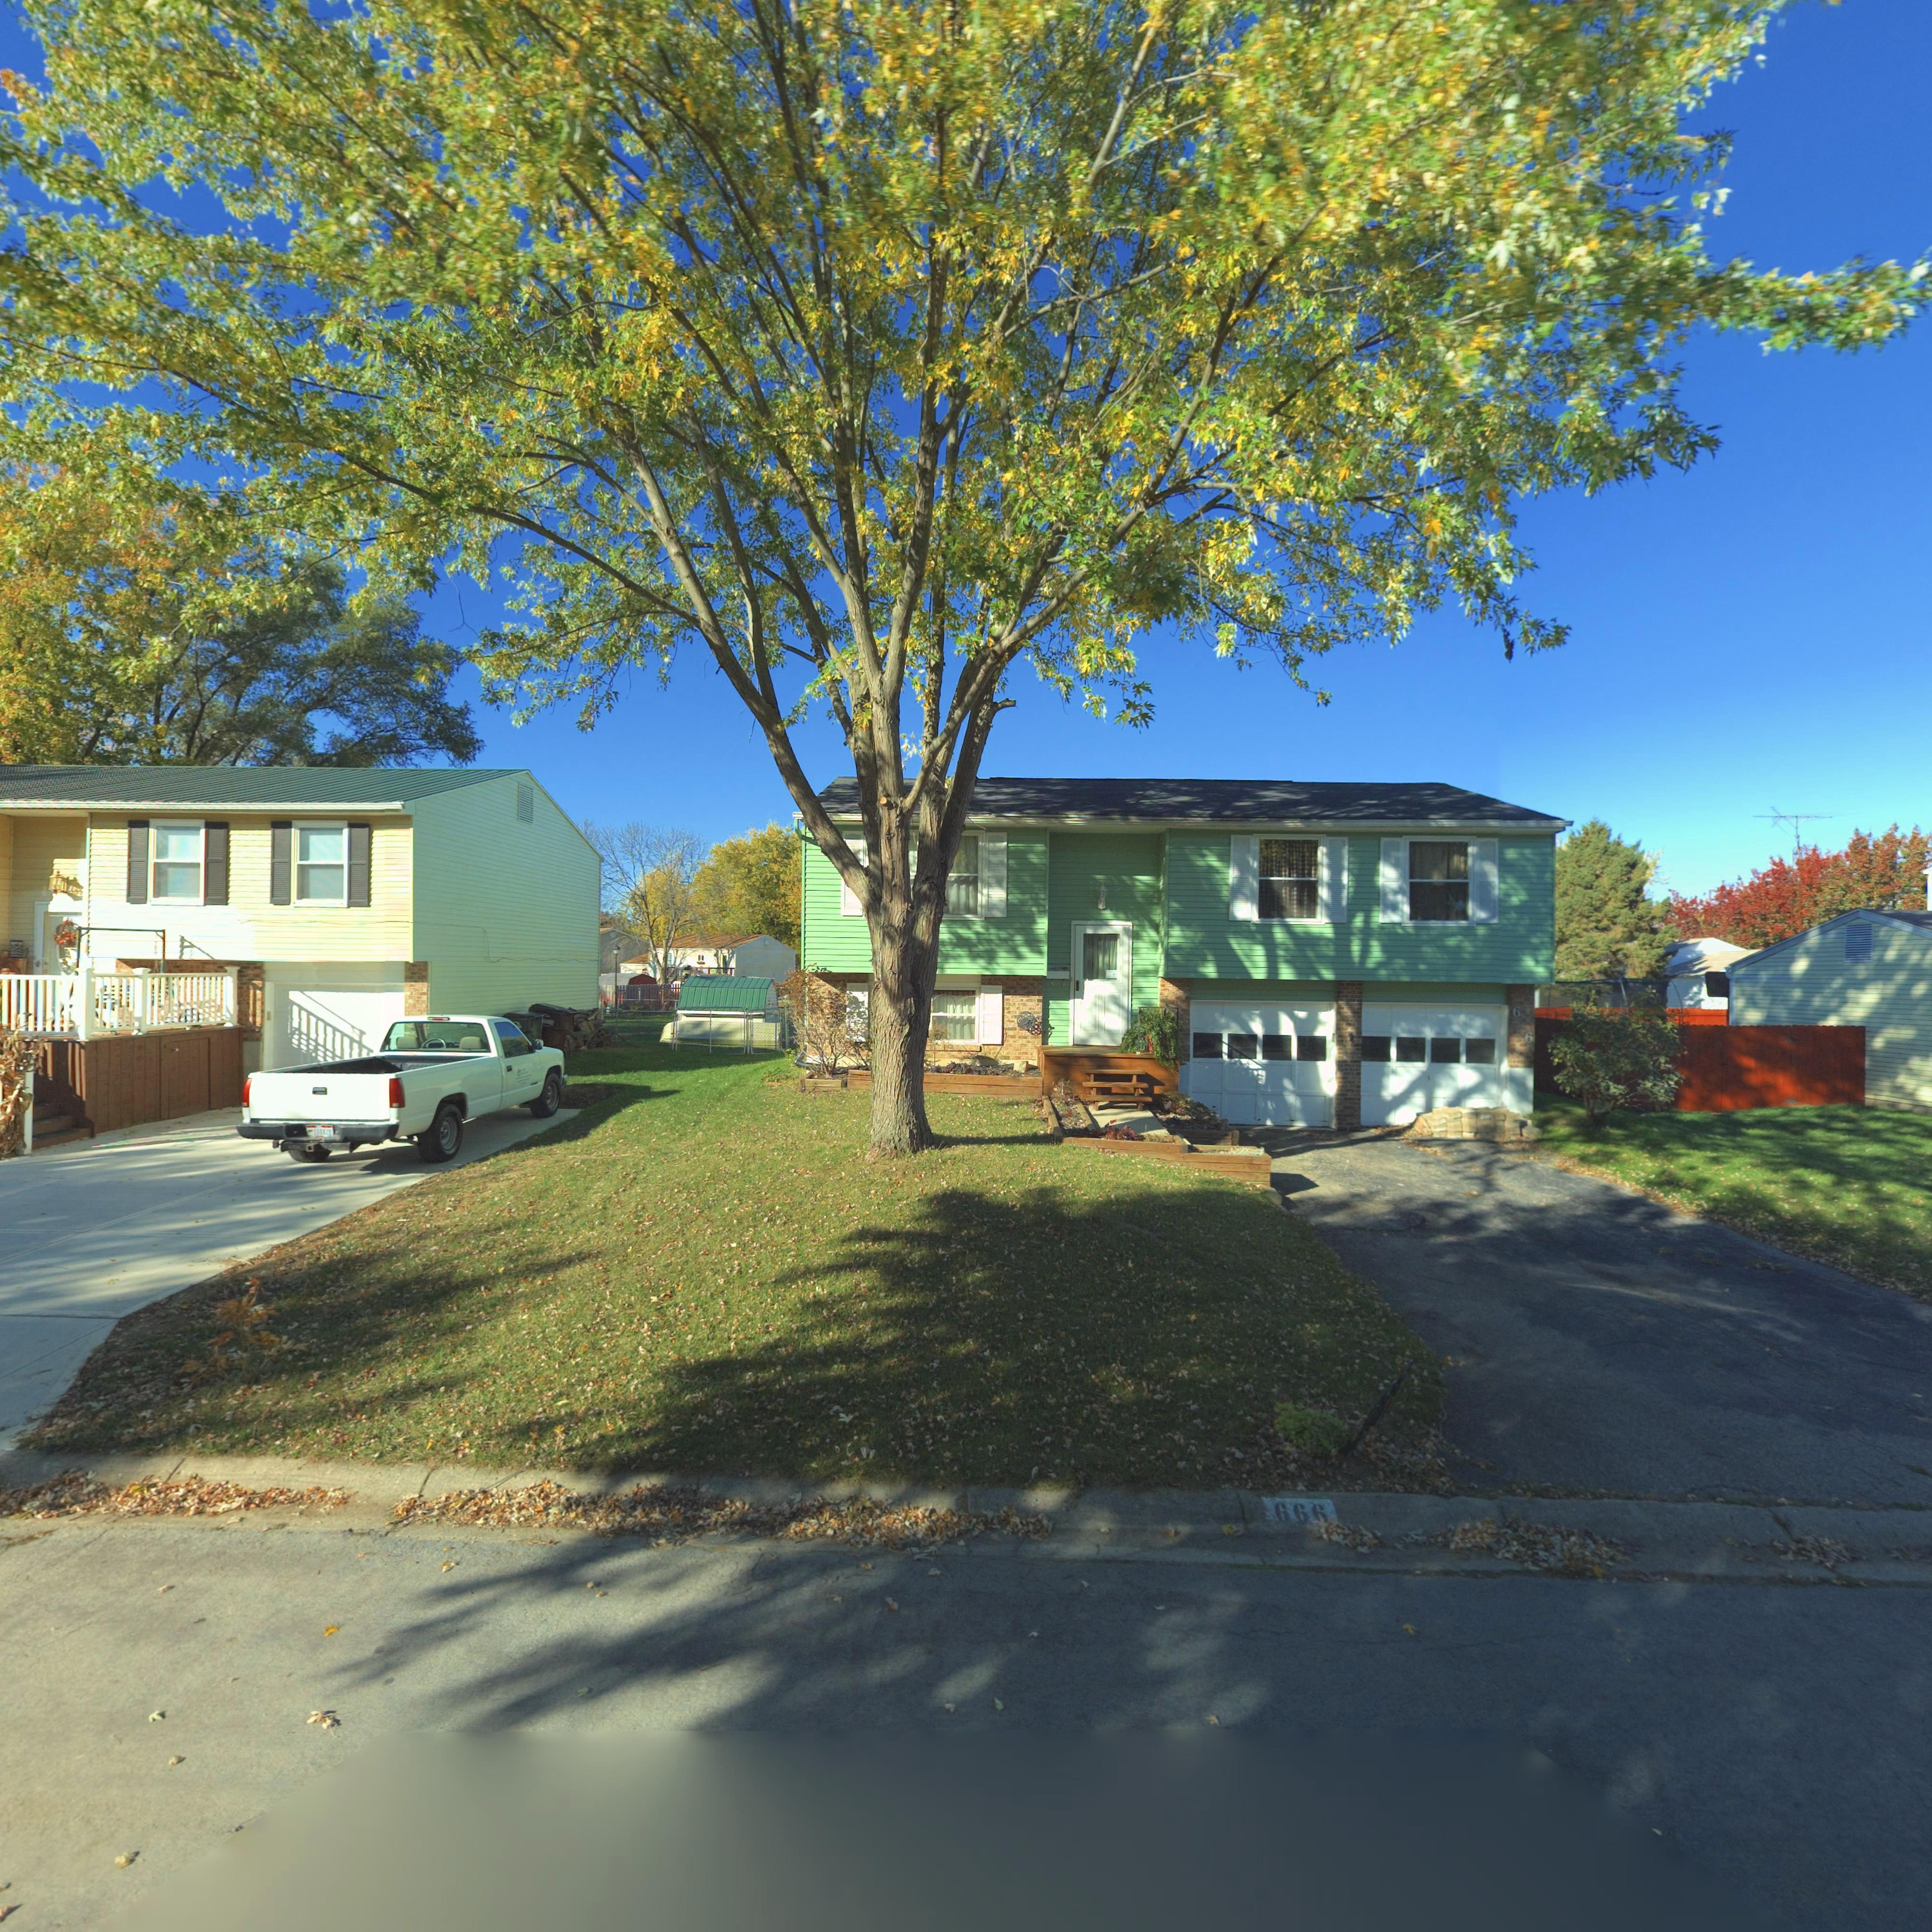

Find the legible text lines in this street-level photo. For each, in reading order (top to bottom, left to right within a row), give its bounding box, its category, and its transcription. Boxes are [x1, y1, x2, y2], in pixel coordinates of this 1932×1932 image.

[1512, 1005, 1534, 1044] StreetNumber: 6*6
[1274, 1501, 1329, 1525] StreetNumber: 666